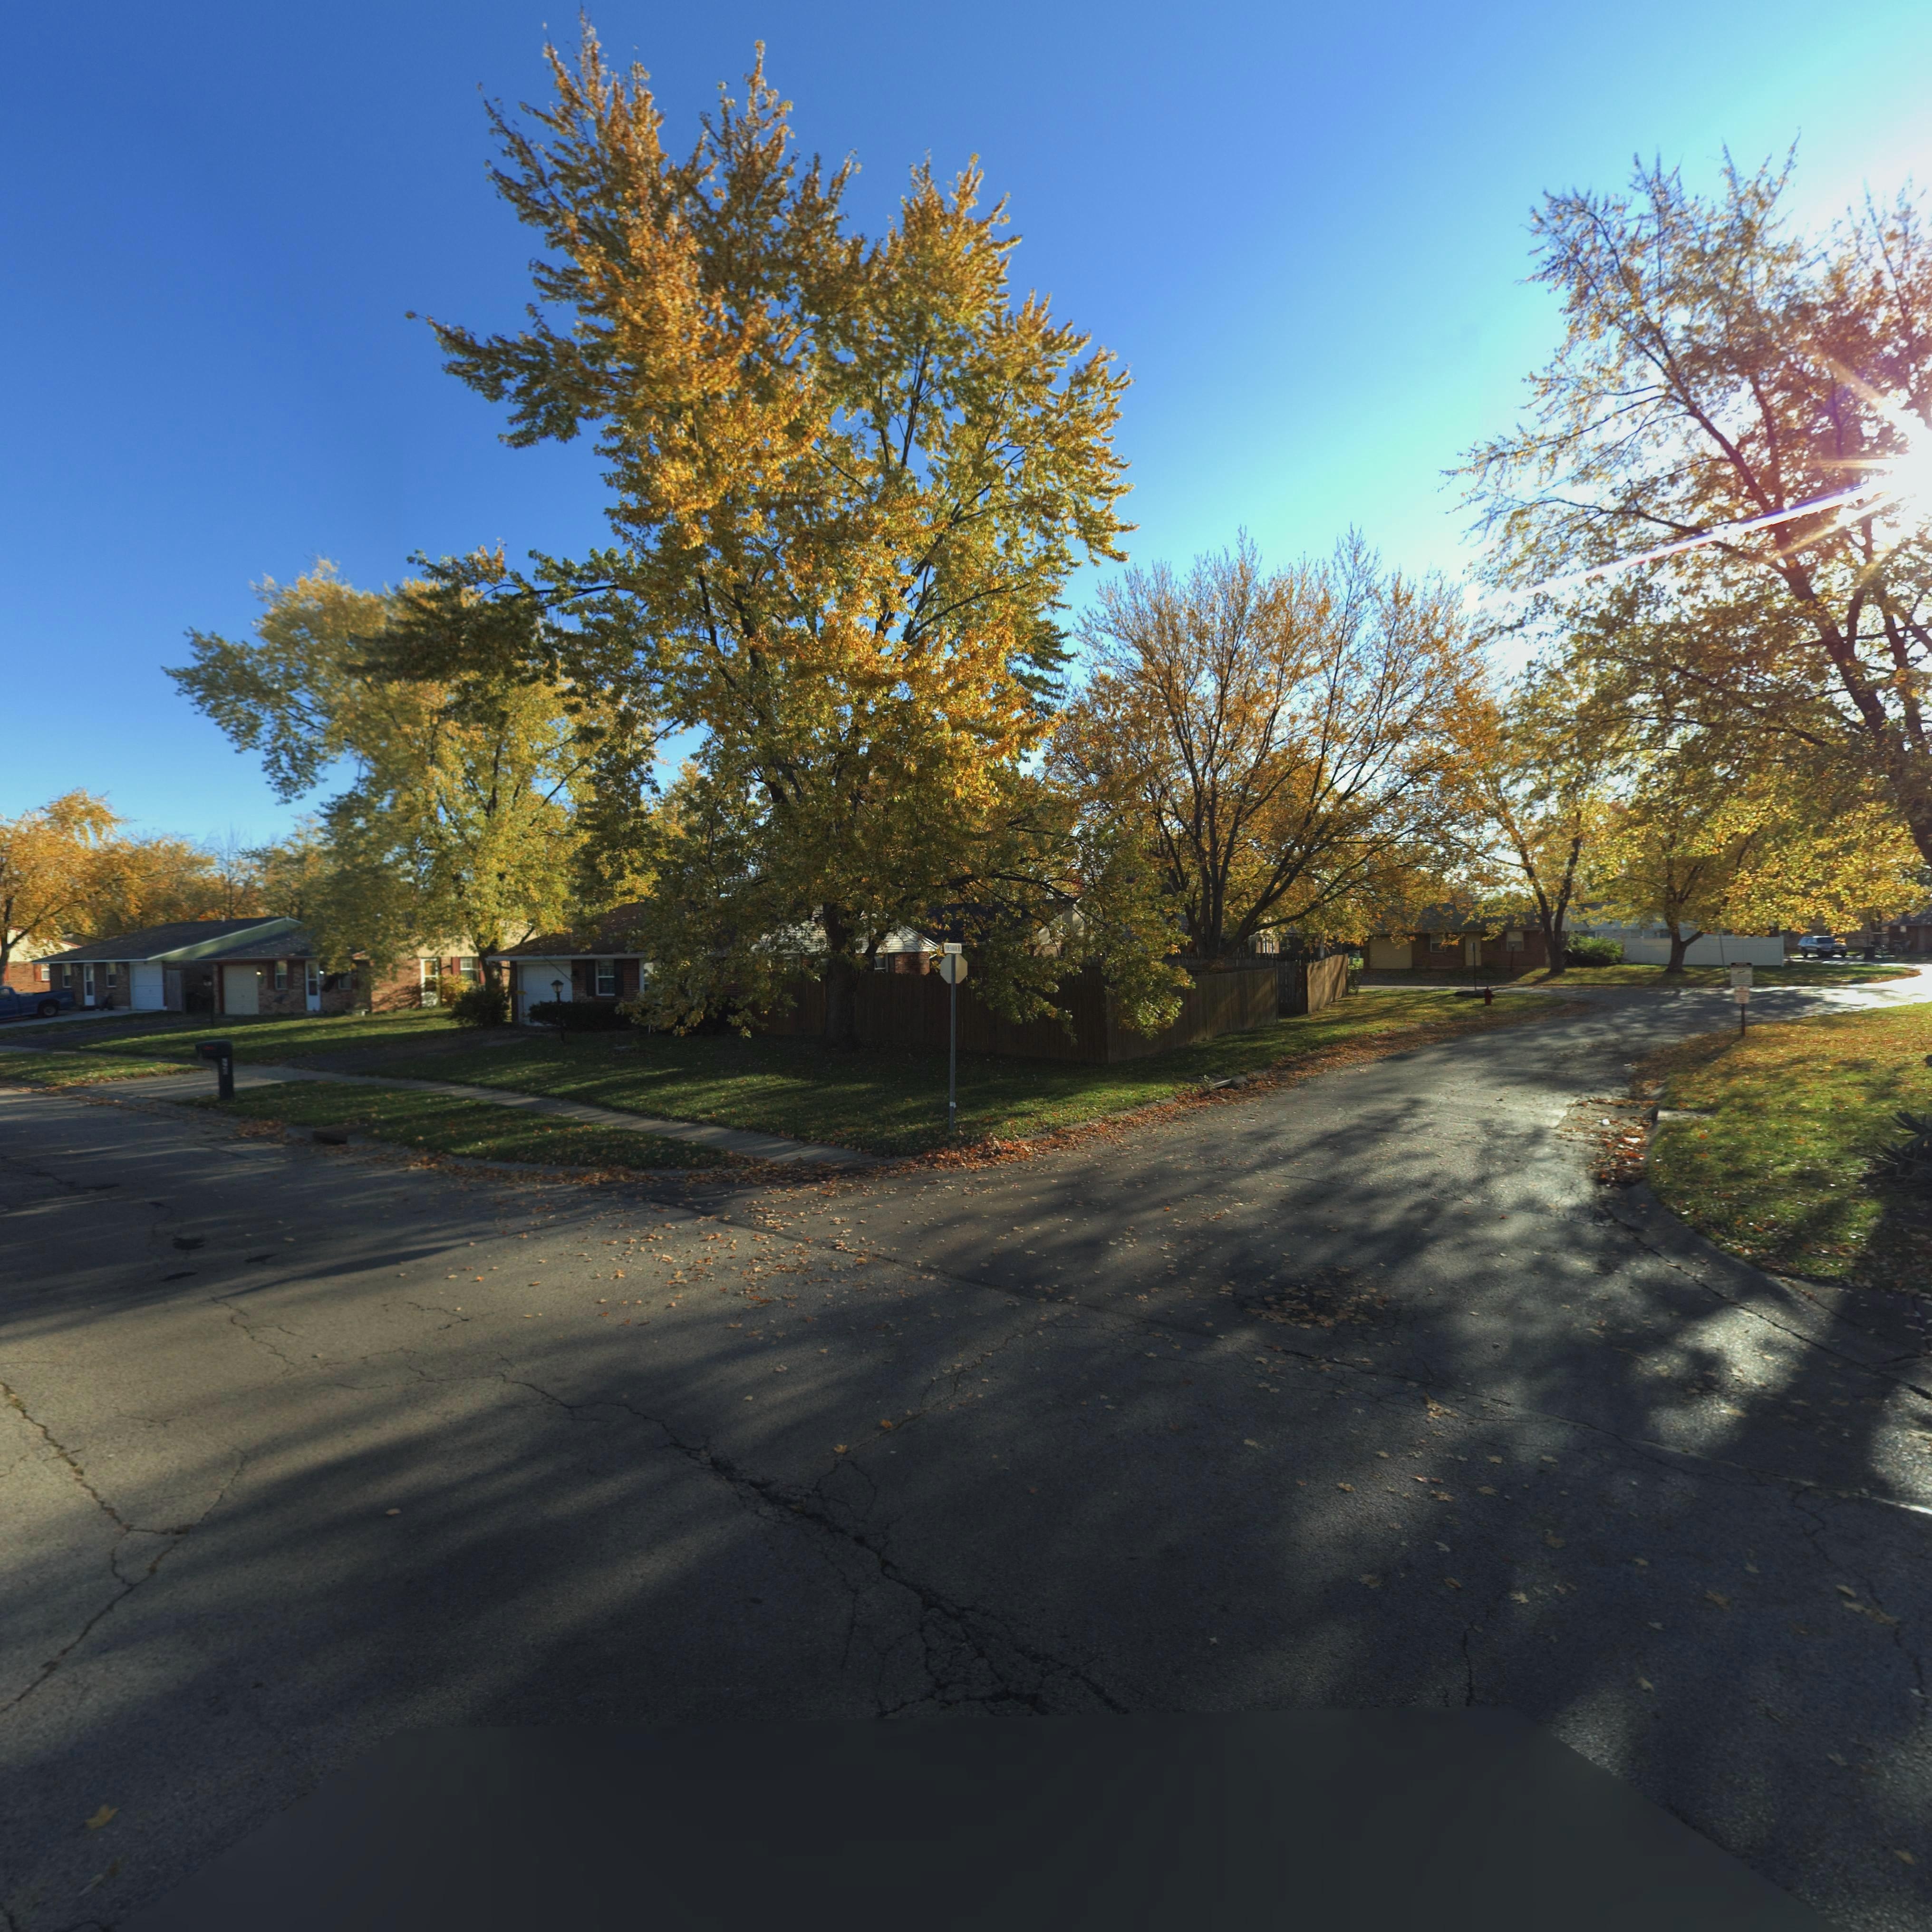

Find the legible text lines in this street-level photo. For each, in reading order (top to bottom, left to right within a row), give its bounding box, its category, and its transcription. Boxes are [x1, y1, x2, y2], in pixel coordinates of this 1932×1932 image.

[223, 1069, 228, 1075] StreetNumber: 8